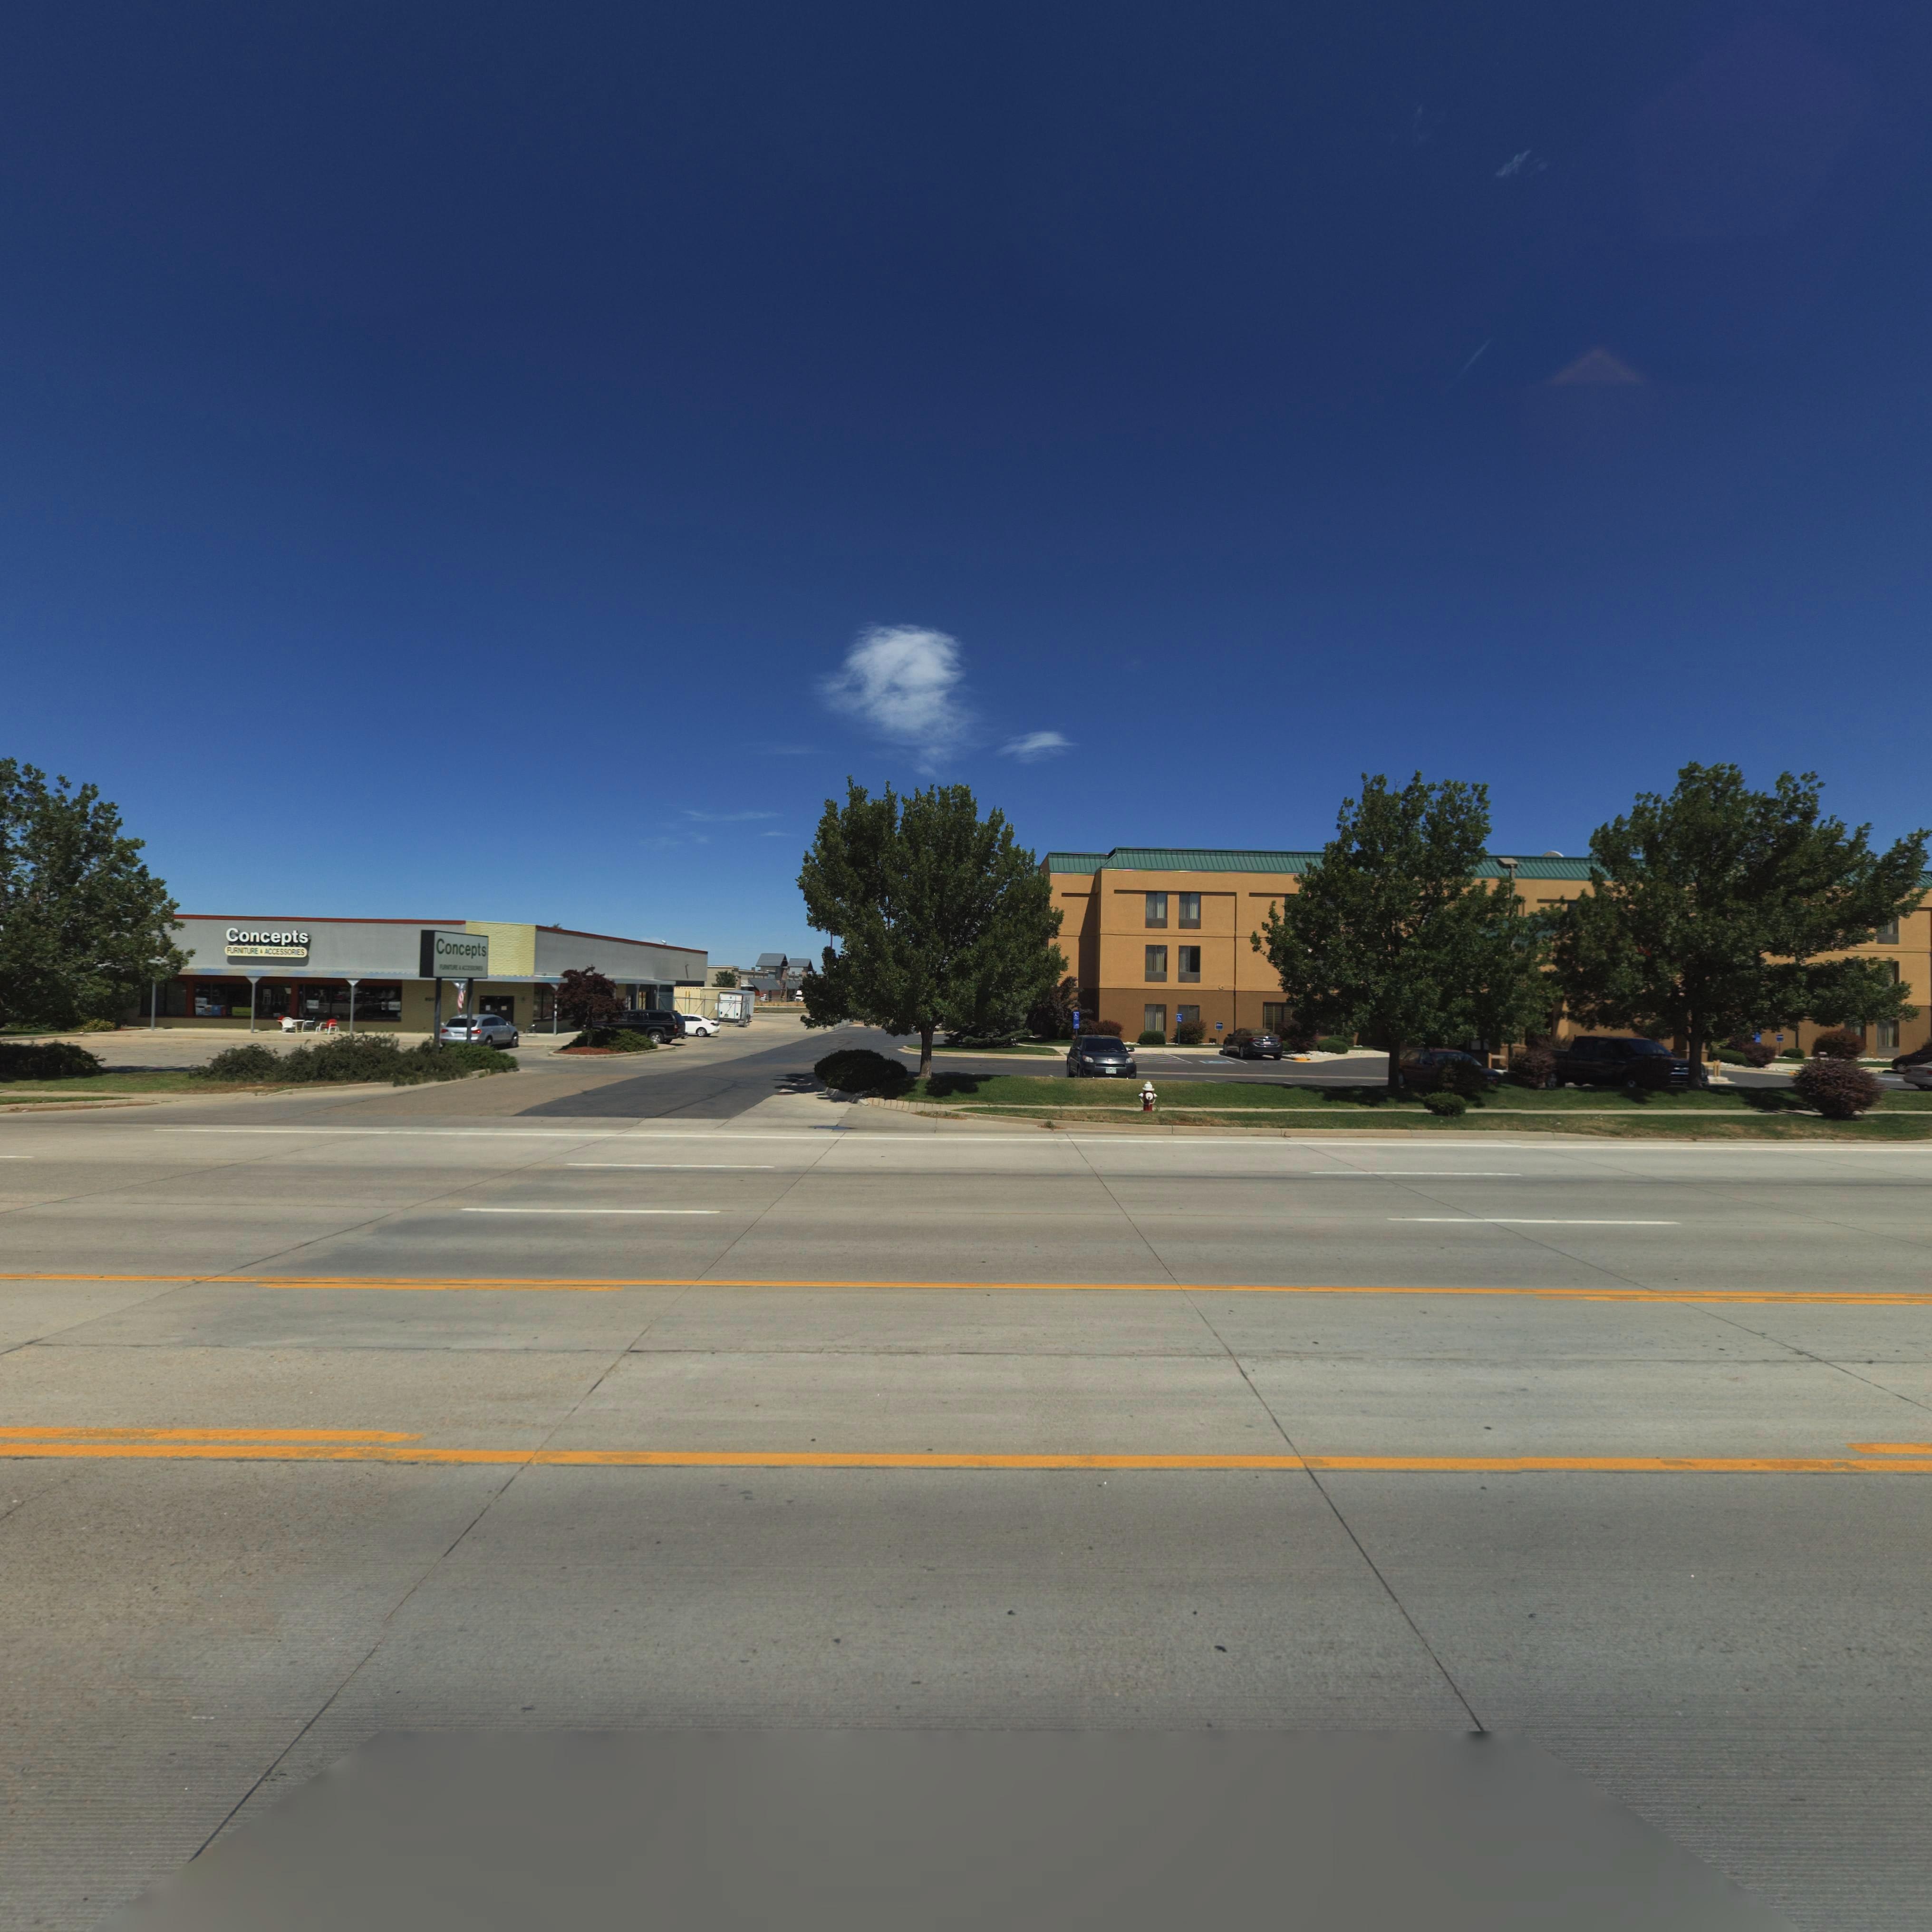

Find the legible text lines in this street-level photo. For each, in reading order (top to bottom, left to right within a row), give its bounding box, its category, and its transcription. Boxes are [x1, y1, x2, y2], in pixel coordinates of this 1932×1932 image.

[225, 927, 309, 946] BusinessName: Concepts
[436, 938, 487, 959] BusinessName: Concepts